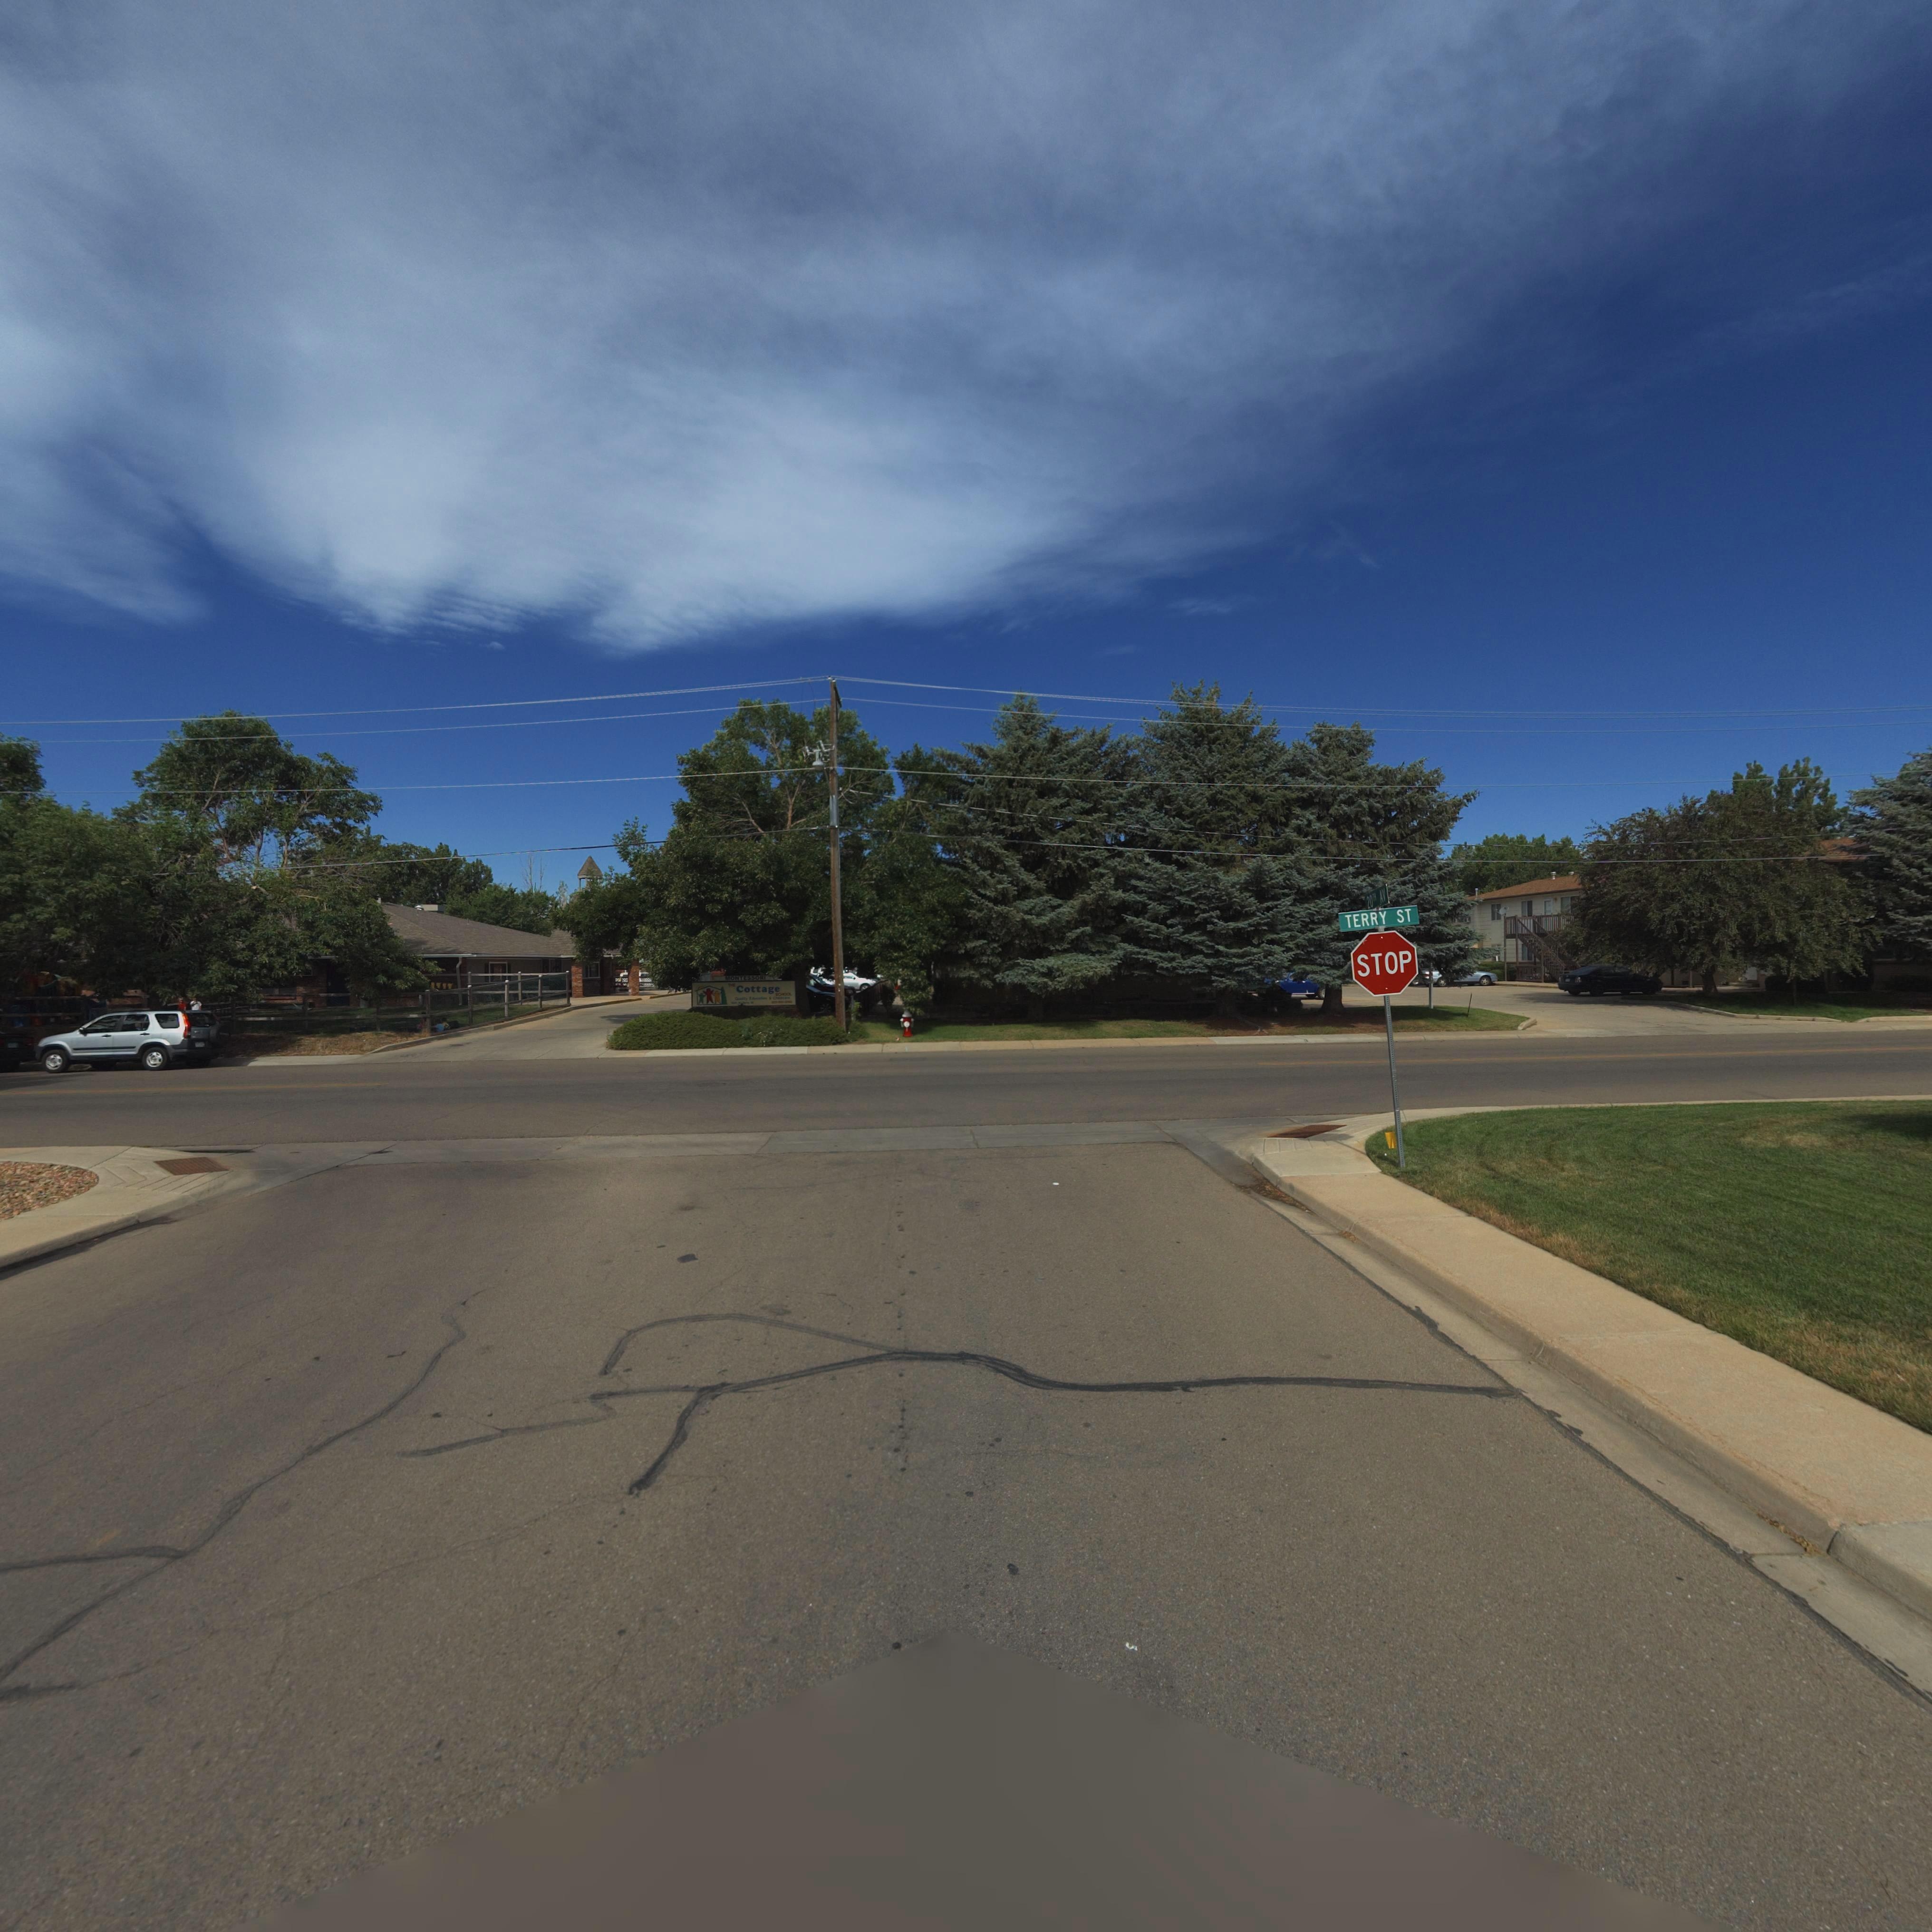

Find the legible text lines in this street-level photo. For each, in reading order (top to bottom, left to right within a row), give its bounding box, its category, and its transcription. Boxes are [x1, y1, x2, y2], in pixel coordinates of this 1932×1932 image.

[1366, 888, 1386, 909] StreetName: 20TH AV
[1344, 908, 1411, 928] StreetName: TERRY ST
[727, 983, 735, 987] BusinessName: THE
[735, 985, 780, 994] BusinessName: Cottage
[775, 992, 792, 996] BusinessName: SCHOOL